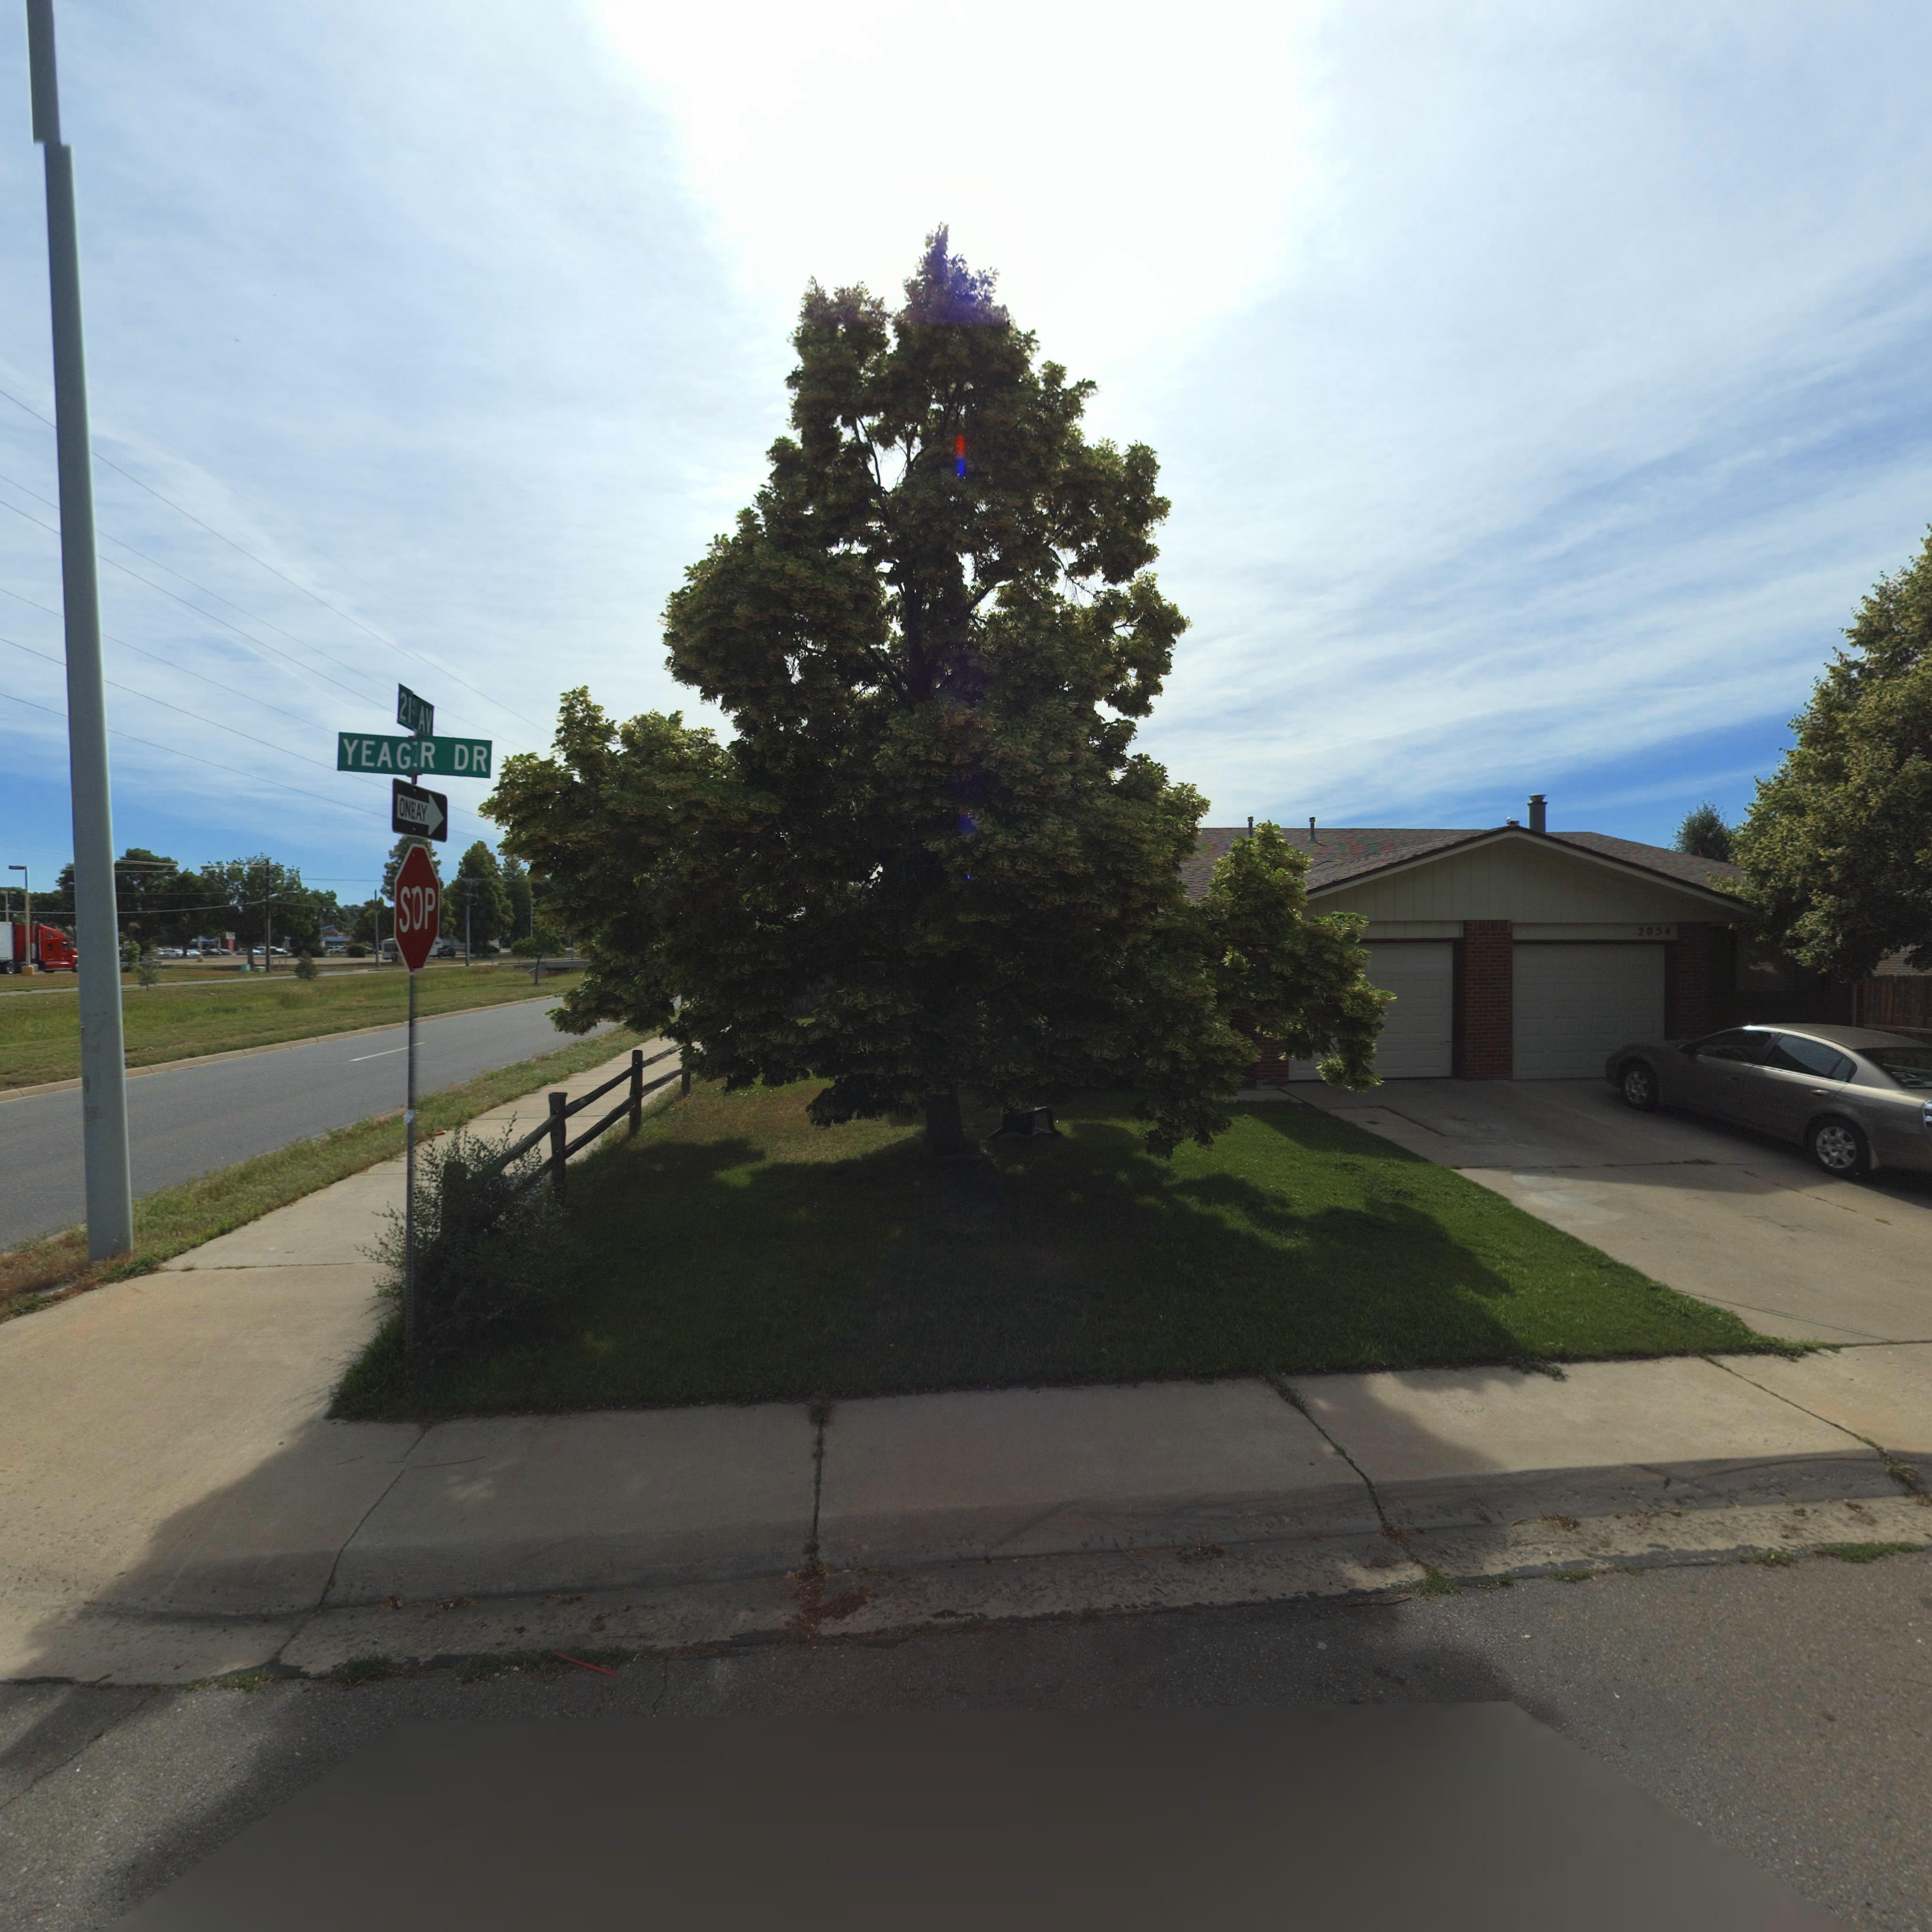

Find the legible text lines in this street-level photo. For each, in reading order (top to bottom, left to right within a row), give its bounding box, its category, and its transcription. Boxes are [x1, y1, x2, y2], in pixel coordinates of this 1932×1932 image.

[398, 691, 433, 736] StreetName: 21* AV
[342, 737, 488, 773] StreetName: YEAG*R DR
[1637, 926, 1671, 936] StreetNumber: 2054